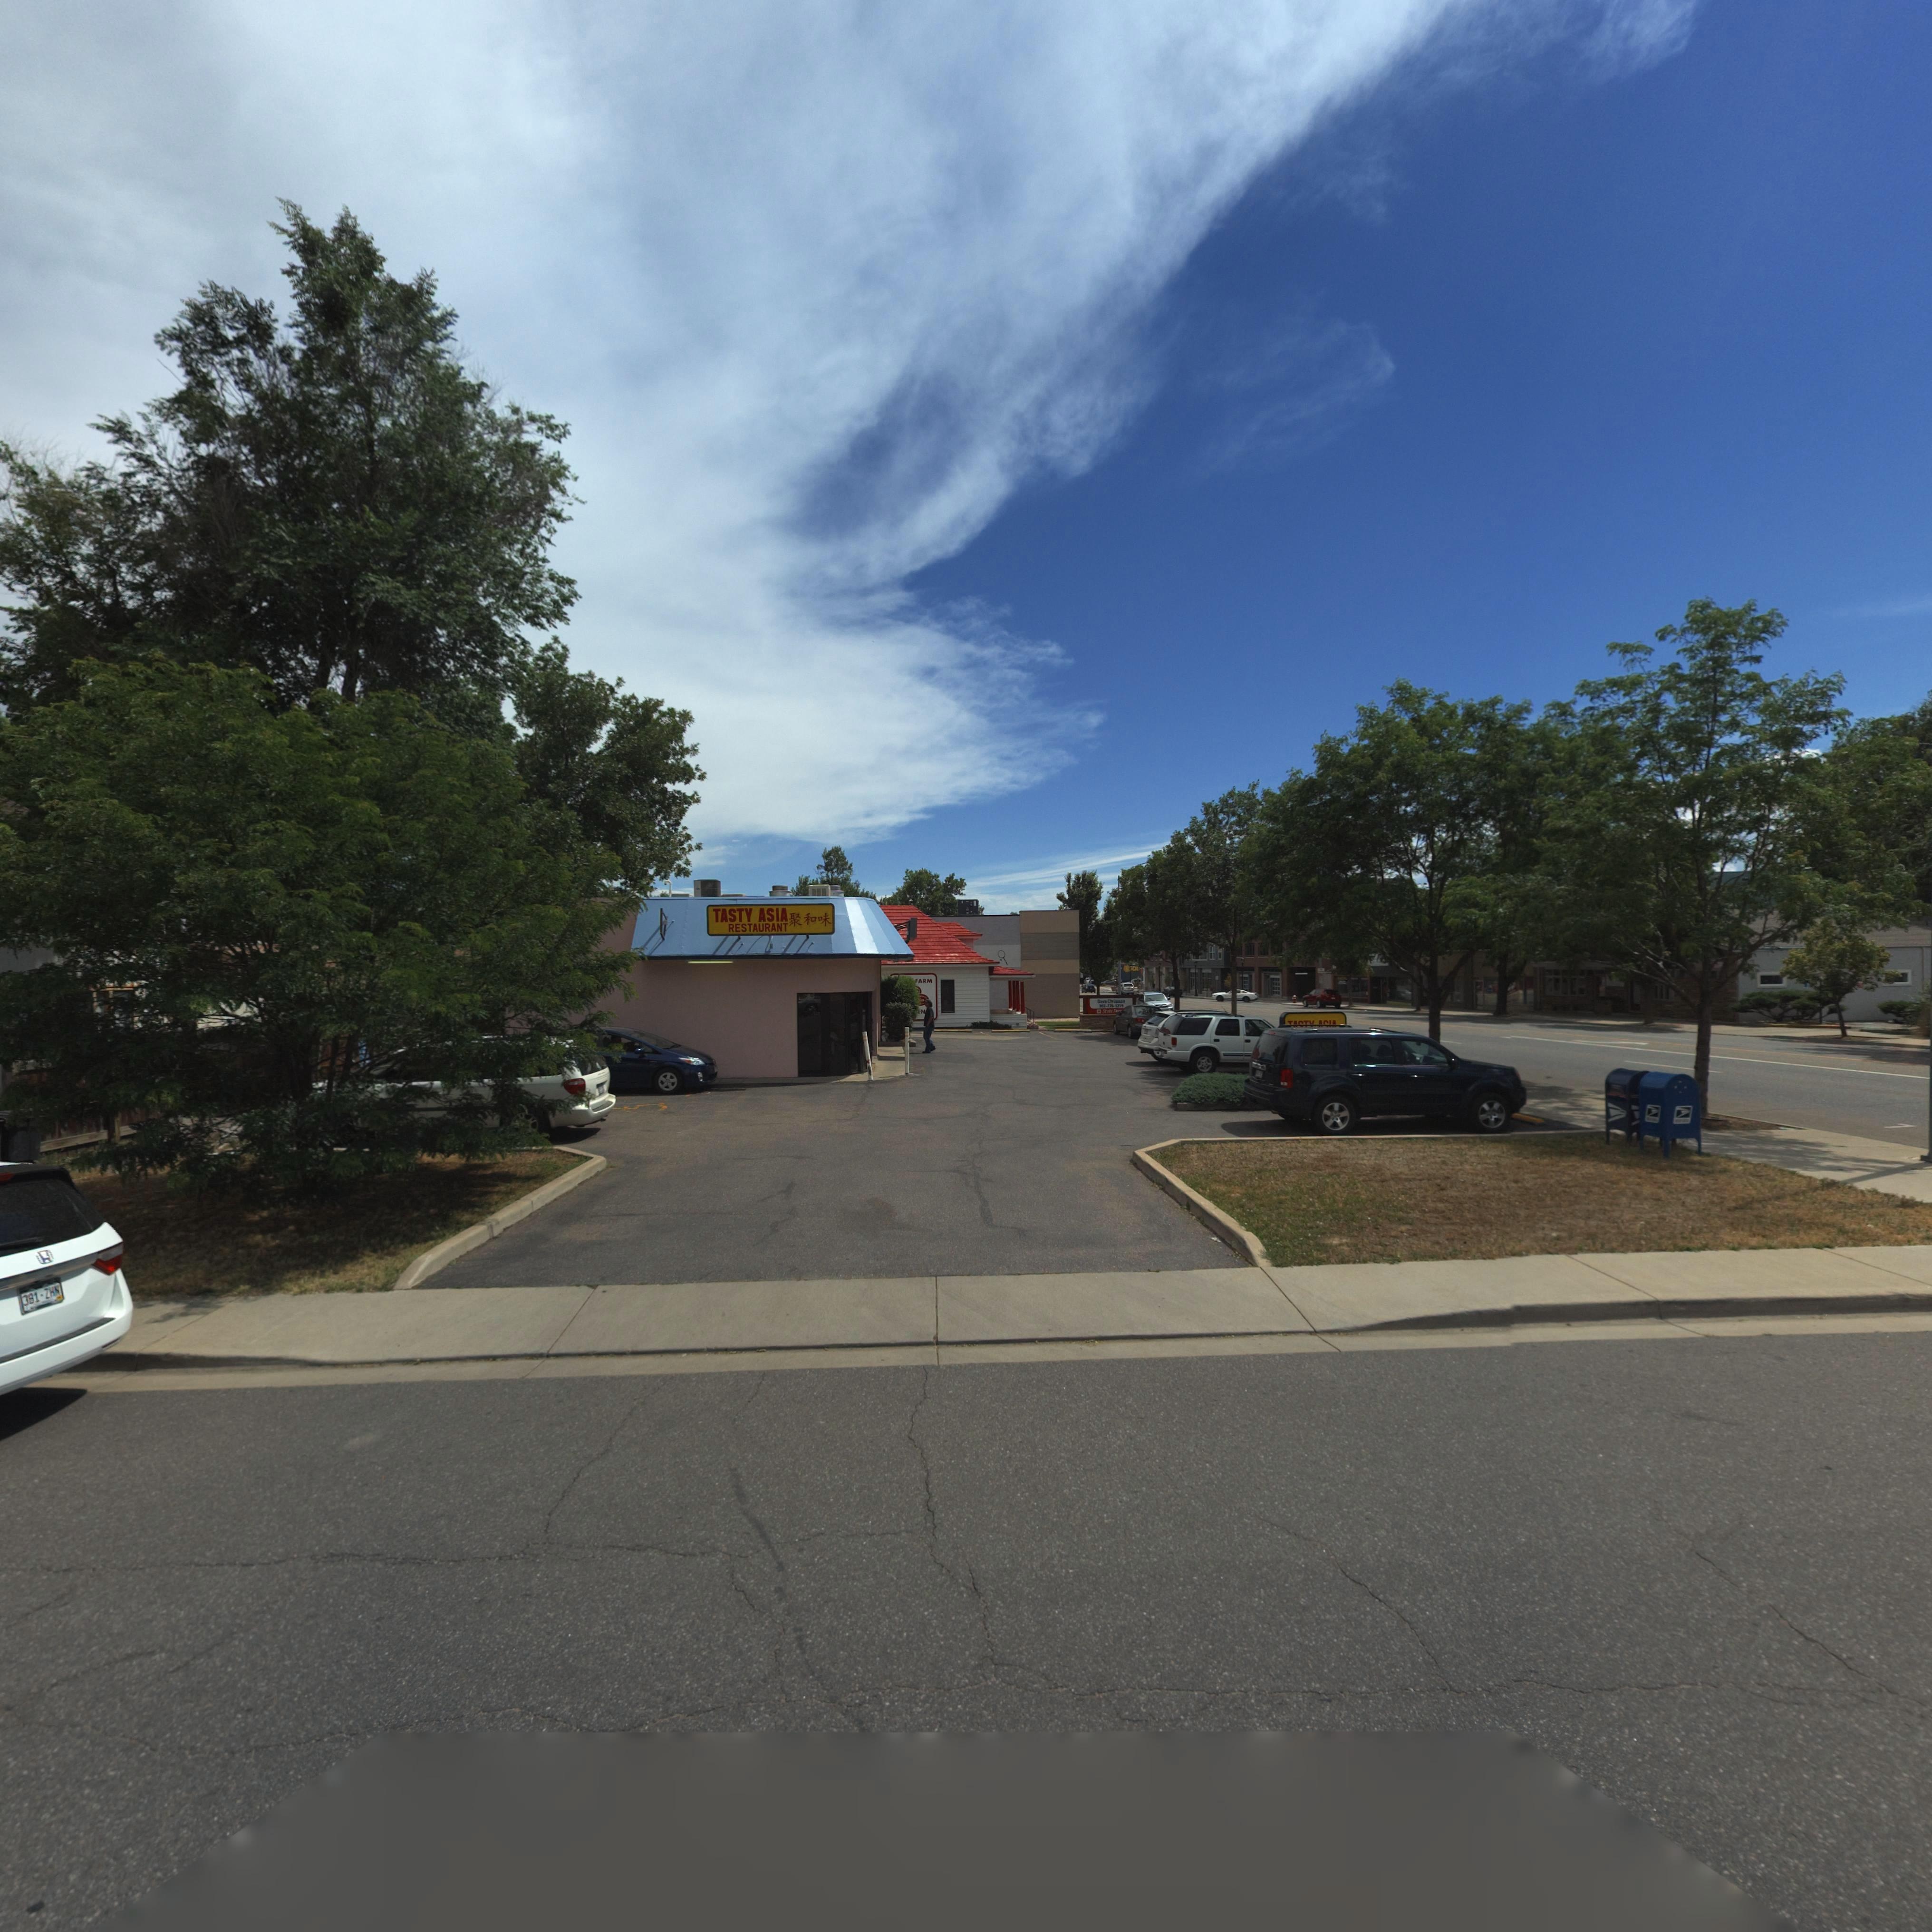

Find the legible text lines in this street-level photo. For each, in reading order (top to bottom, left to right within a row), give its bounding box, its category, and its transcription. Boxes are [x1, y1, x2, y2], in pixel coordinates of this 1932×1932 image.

[711, 907, 789, 923] BusinessName: TASTY ASIA
[727, 922, 788, 932] BusinessName: RESTAURANT
[914, 978, 932, 983] BusinessName: *ARM
[920, 1009, 925, 1014] BusinessName: N
[1101, 1009, 1122, 1014] None: State Fa**